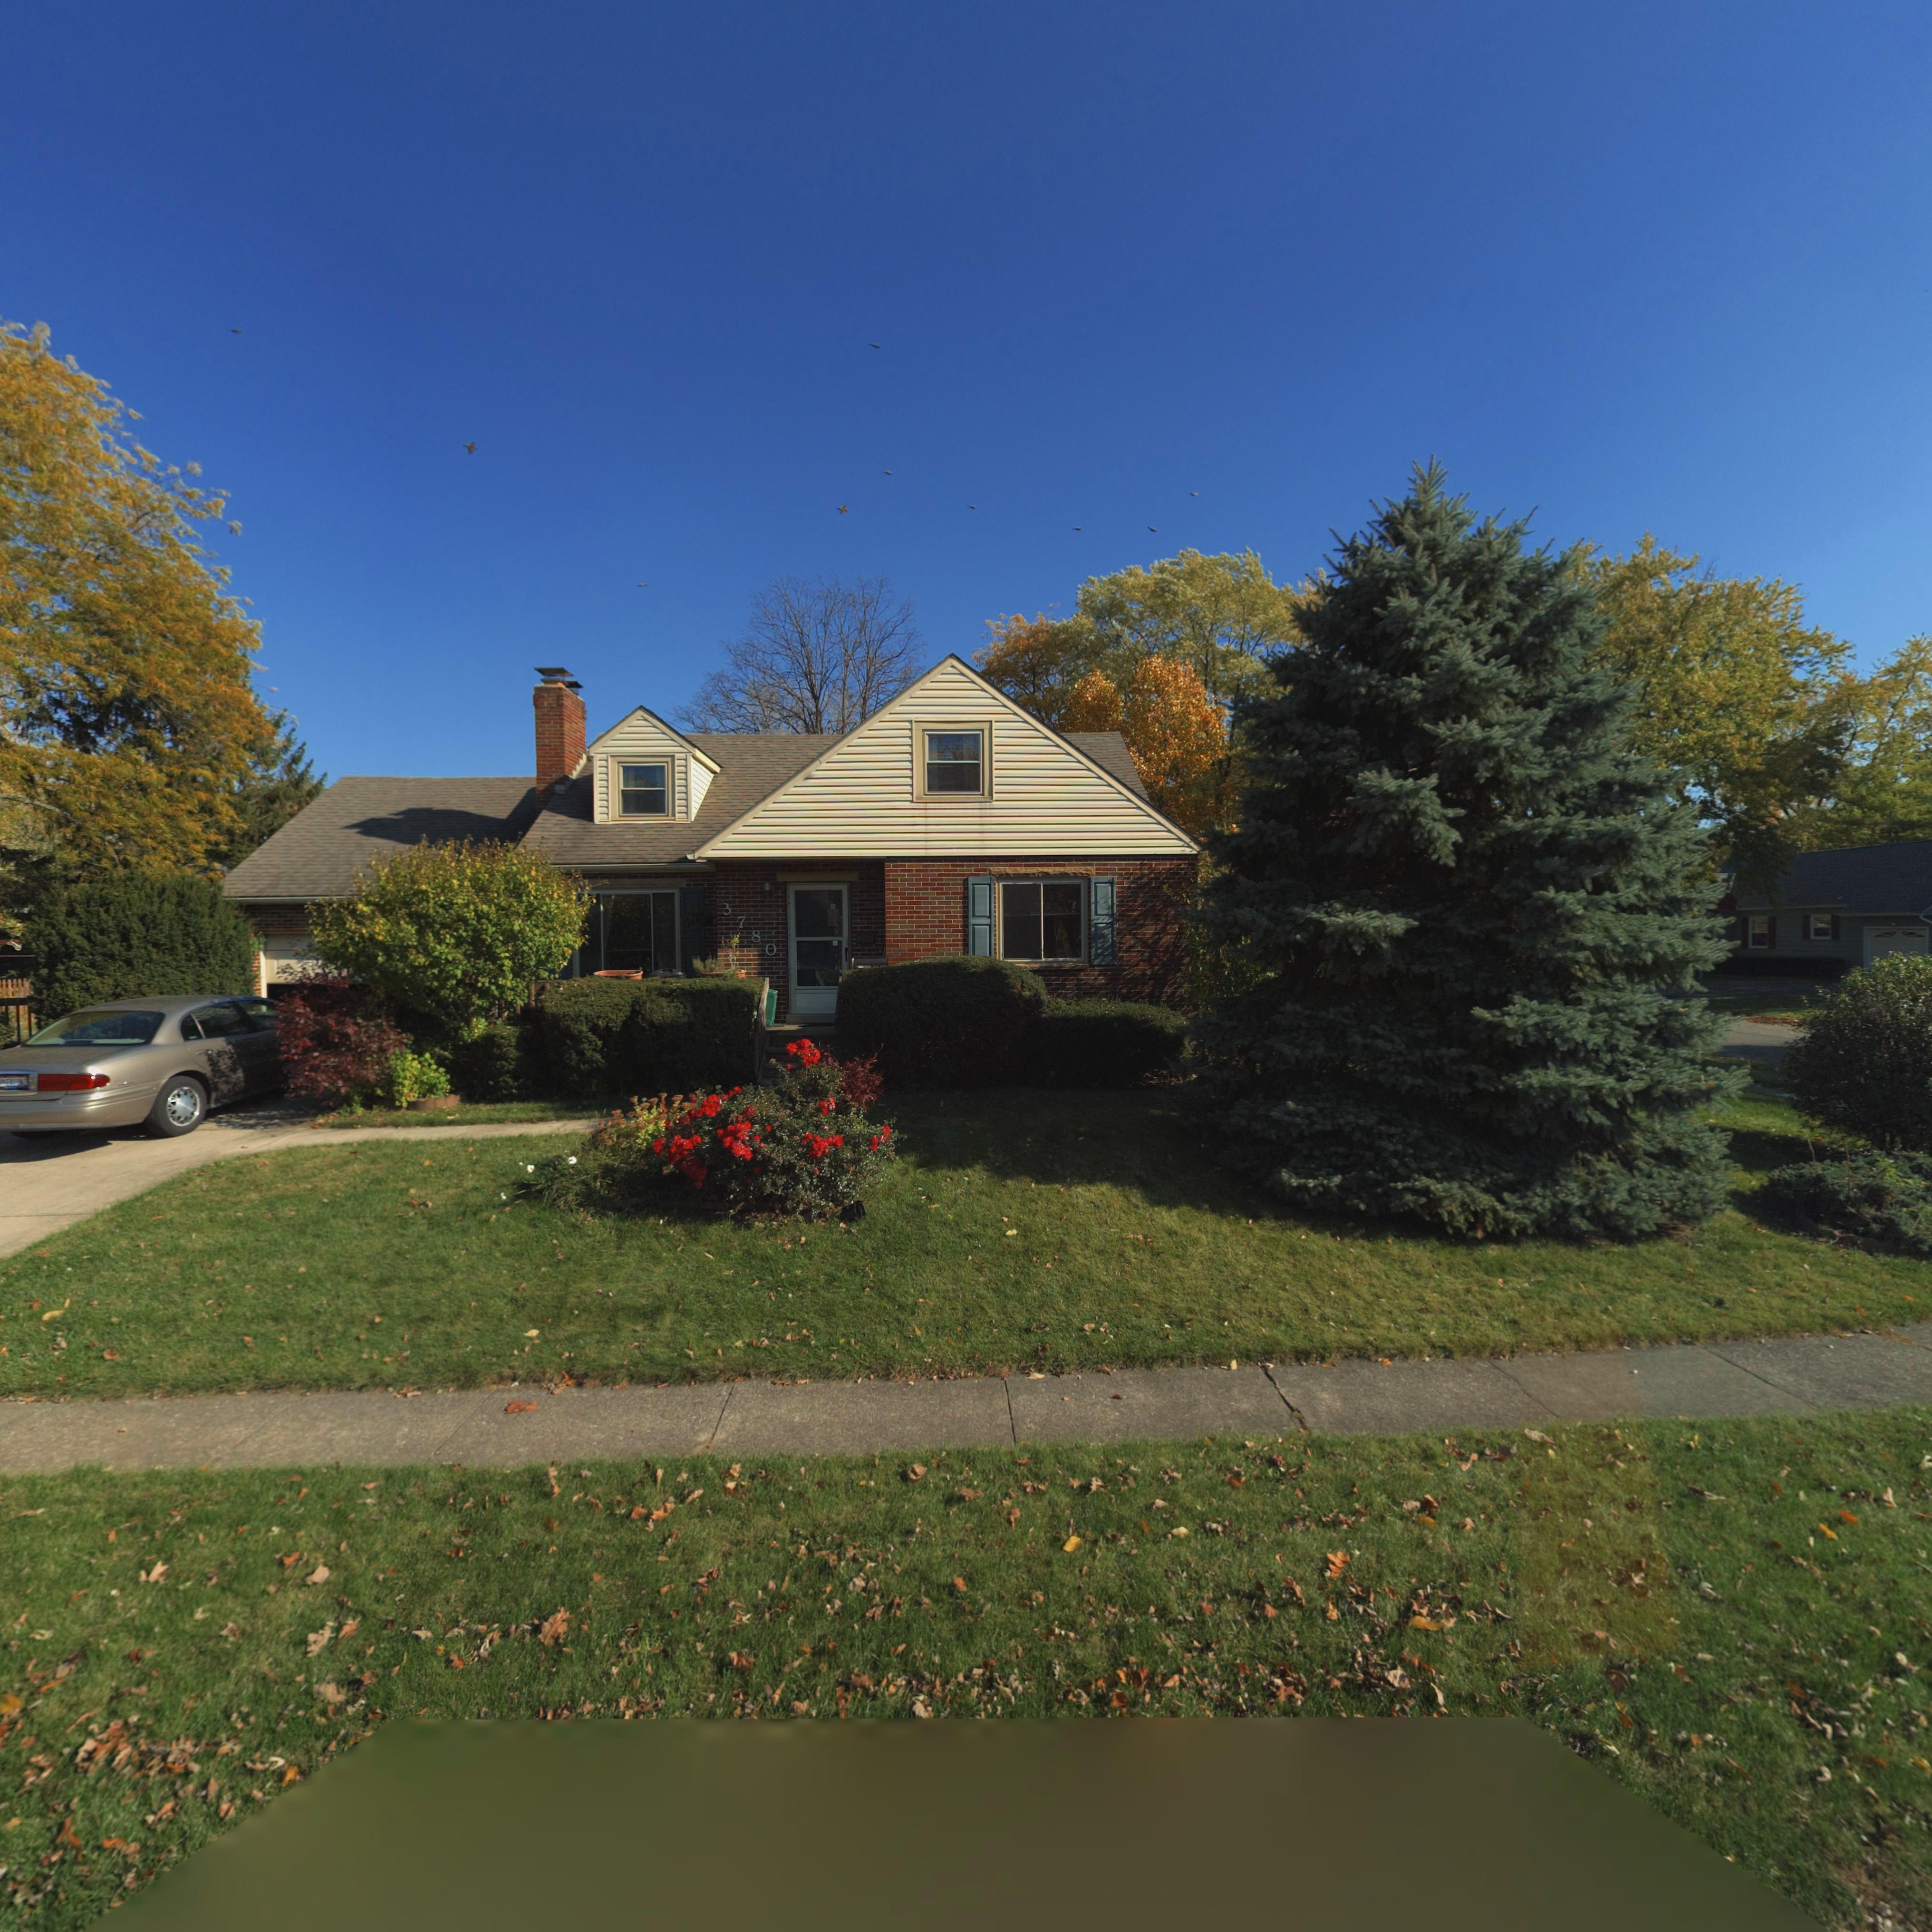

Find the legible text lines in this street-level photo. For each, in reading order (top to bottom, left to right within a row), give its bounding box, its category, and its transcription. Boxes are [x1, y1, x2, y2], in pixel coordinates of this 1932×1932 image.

[721, 902, 777, 956] StreetNumber: 3780
[6, 1077, 27, 1087] None: E******